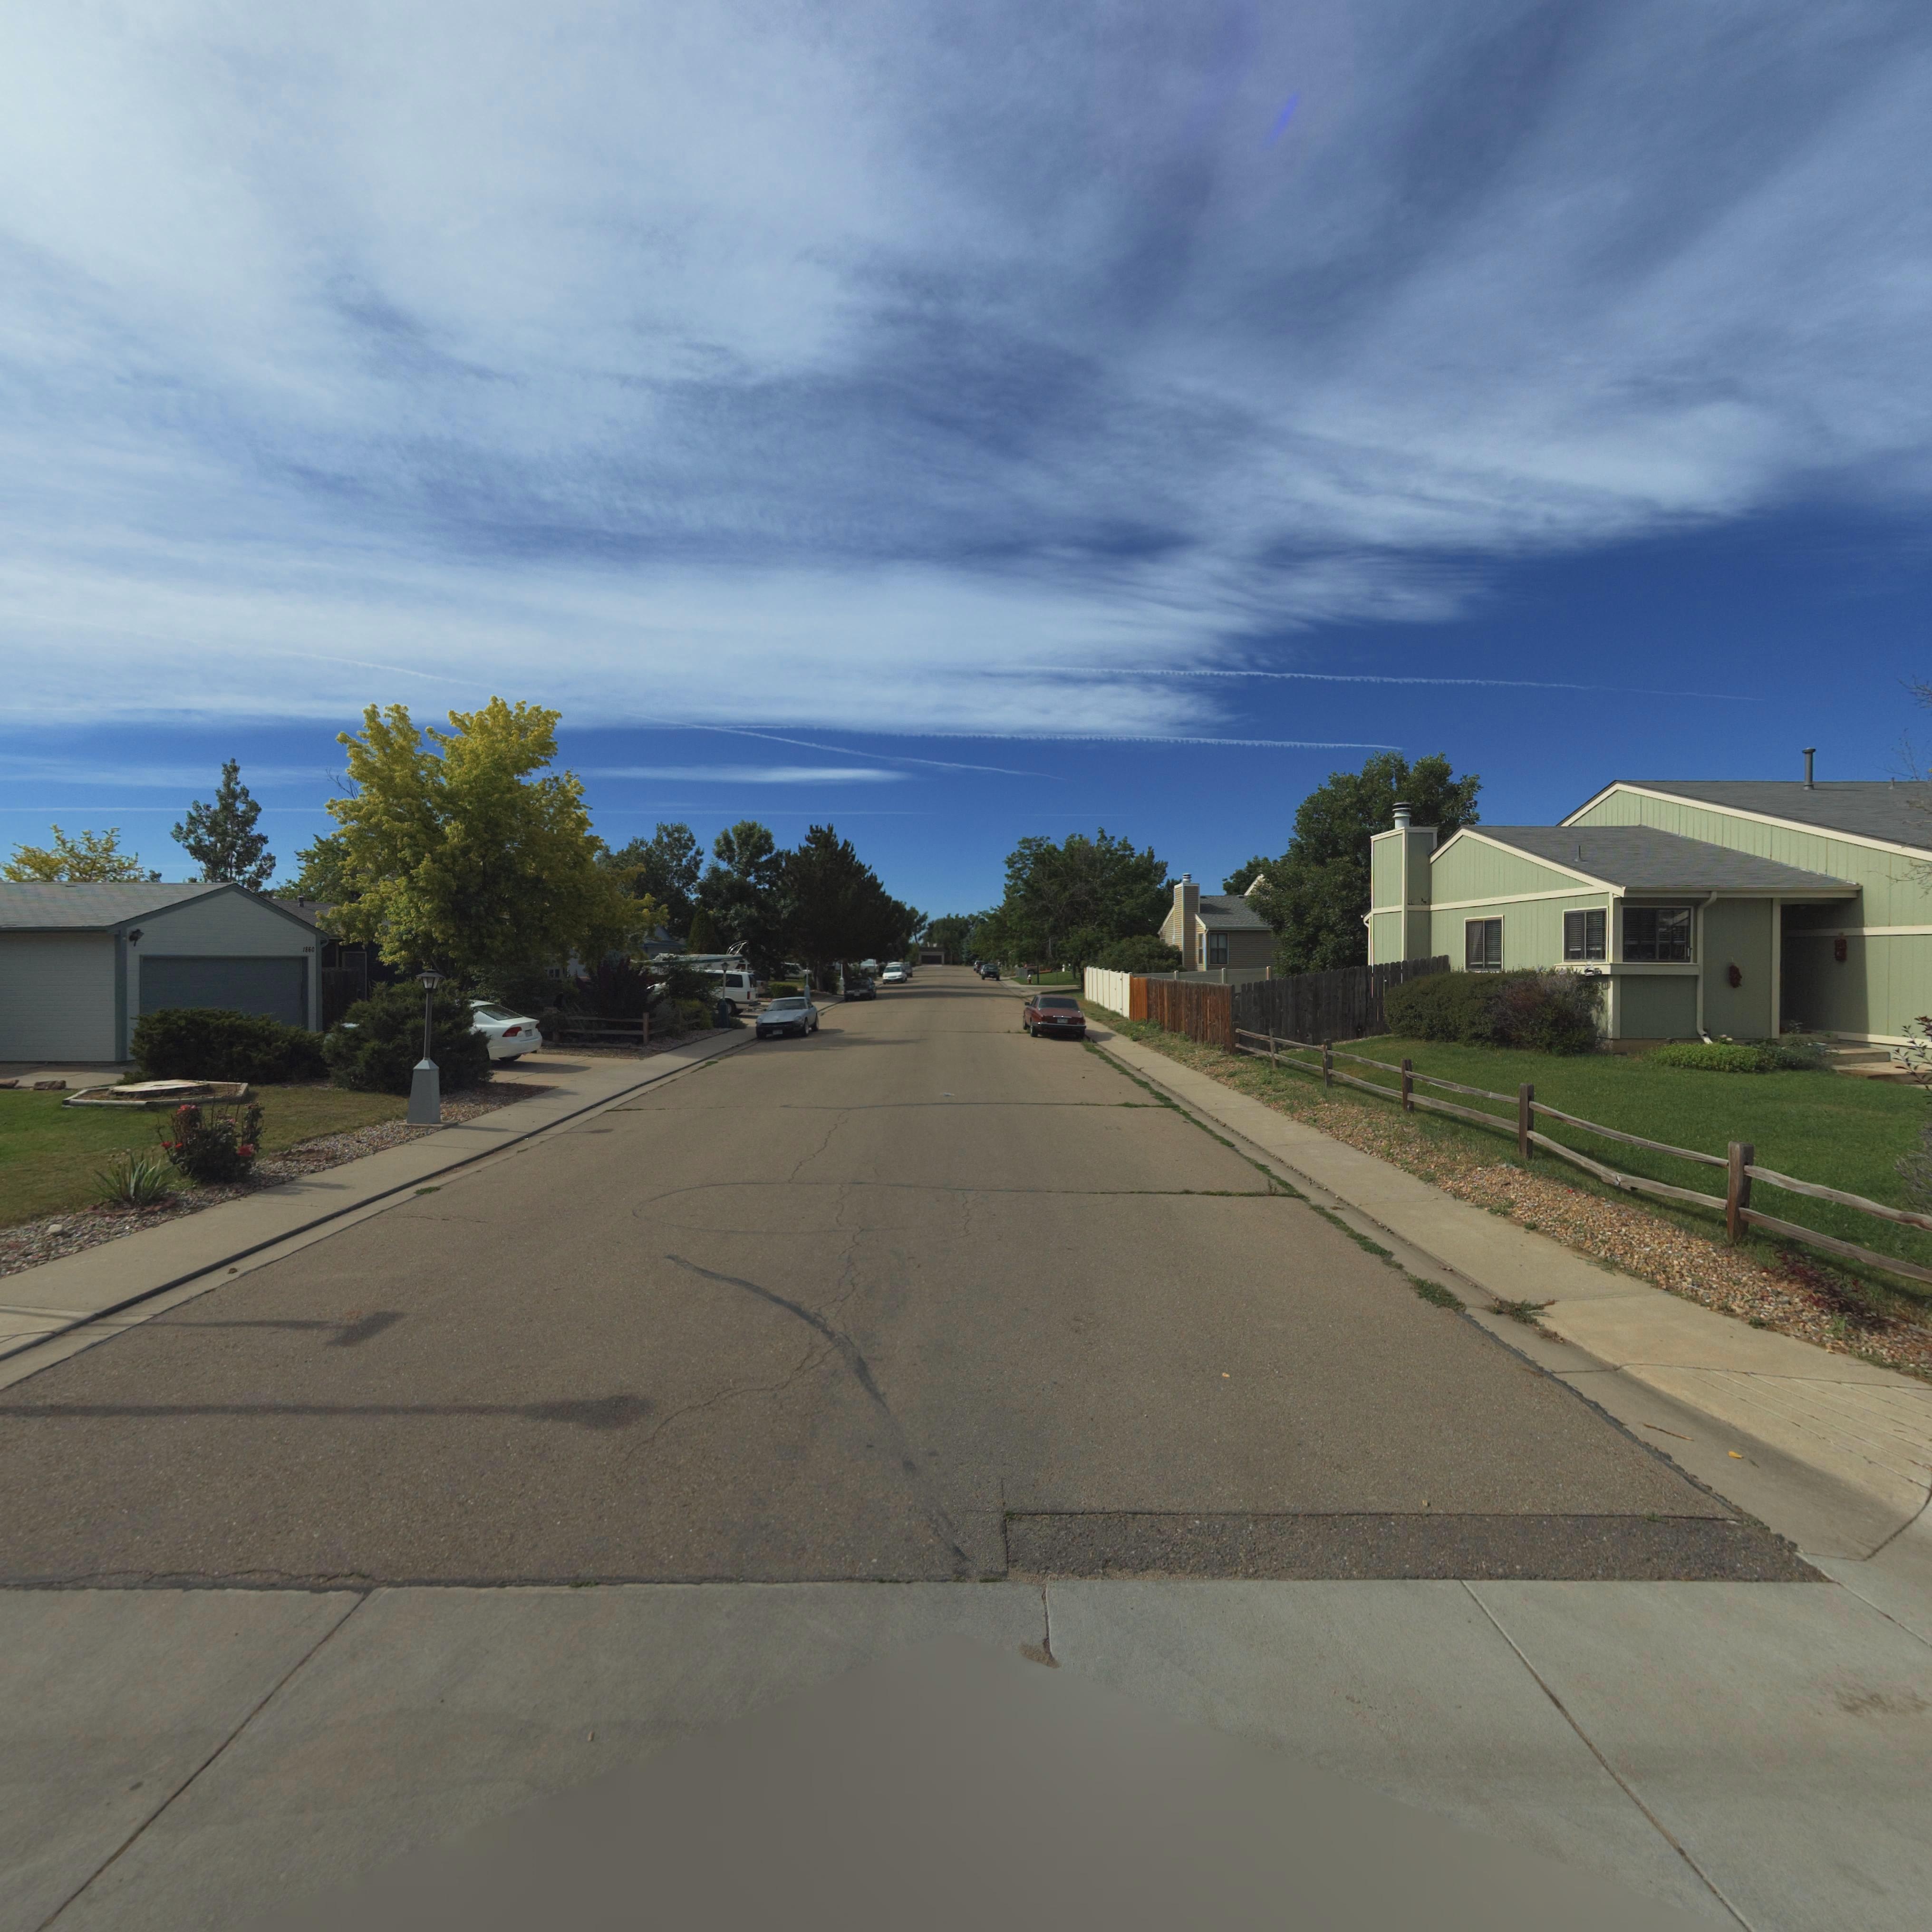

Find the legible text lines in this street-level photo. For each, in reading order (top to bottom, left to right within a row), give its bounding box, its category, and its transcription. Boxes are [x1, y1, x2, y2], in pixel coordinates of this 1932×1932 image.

[302, 946, 315, 952] StreetNumber: 1860